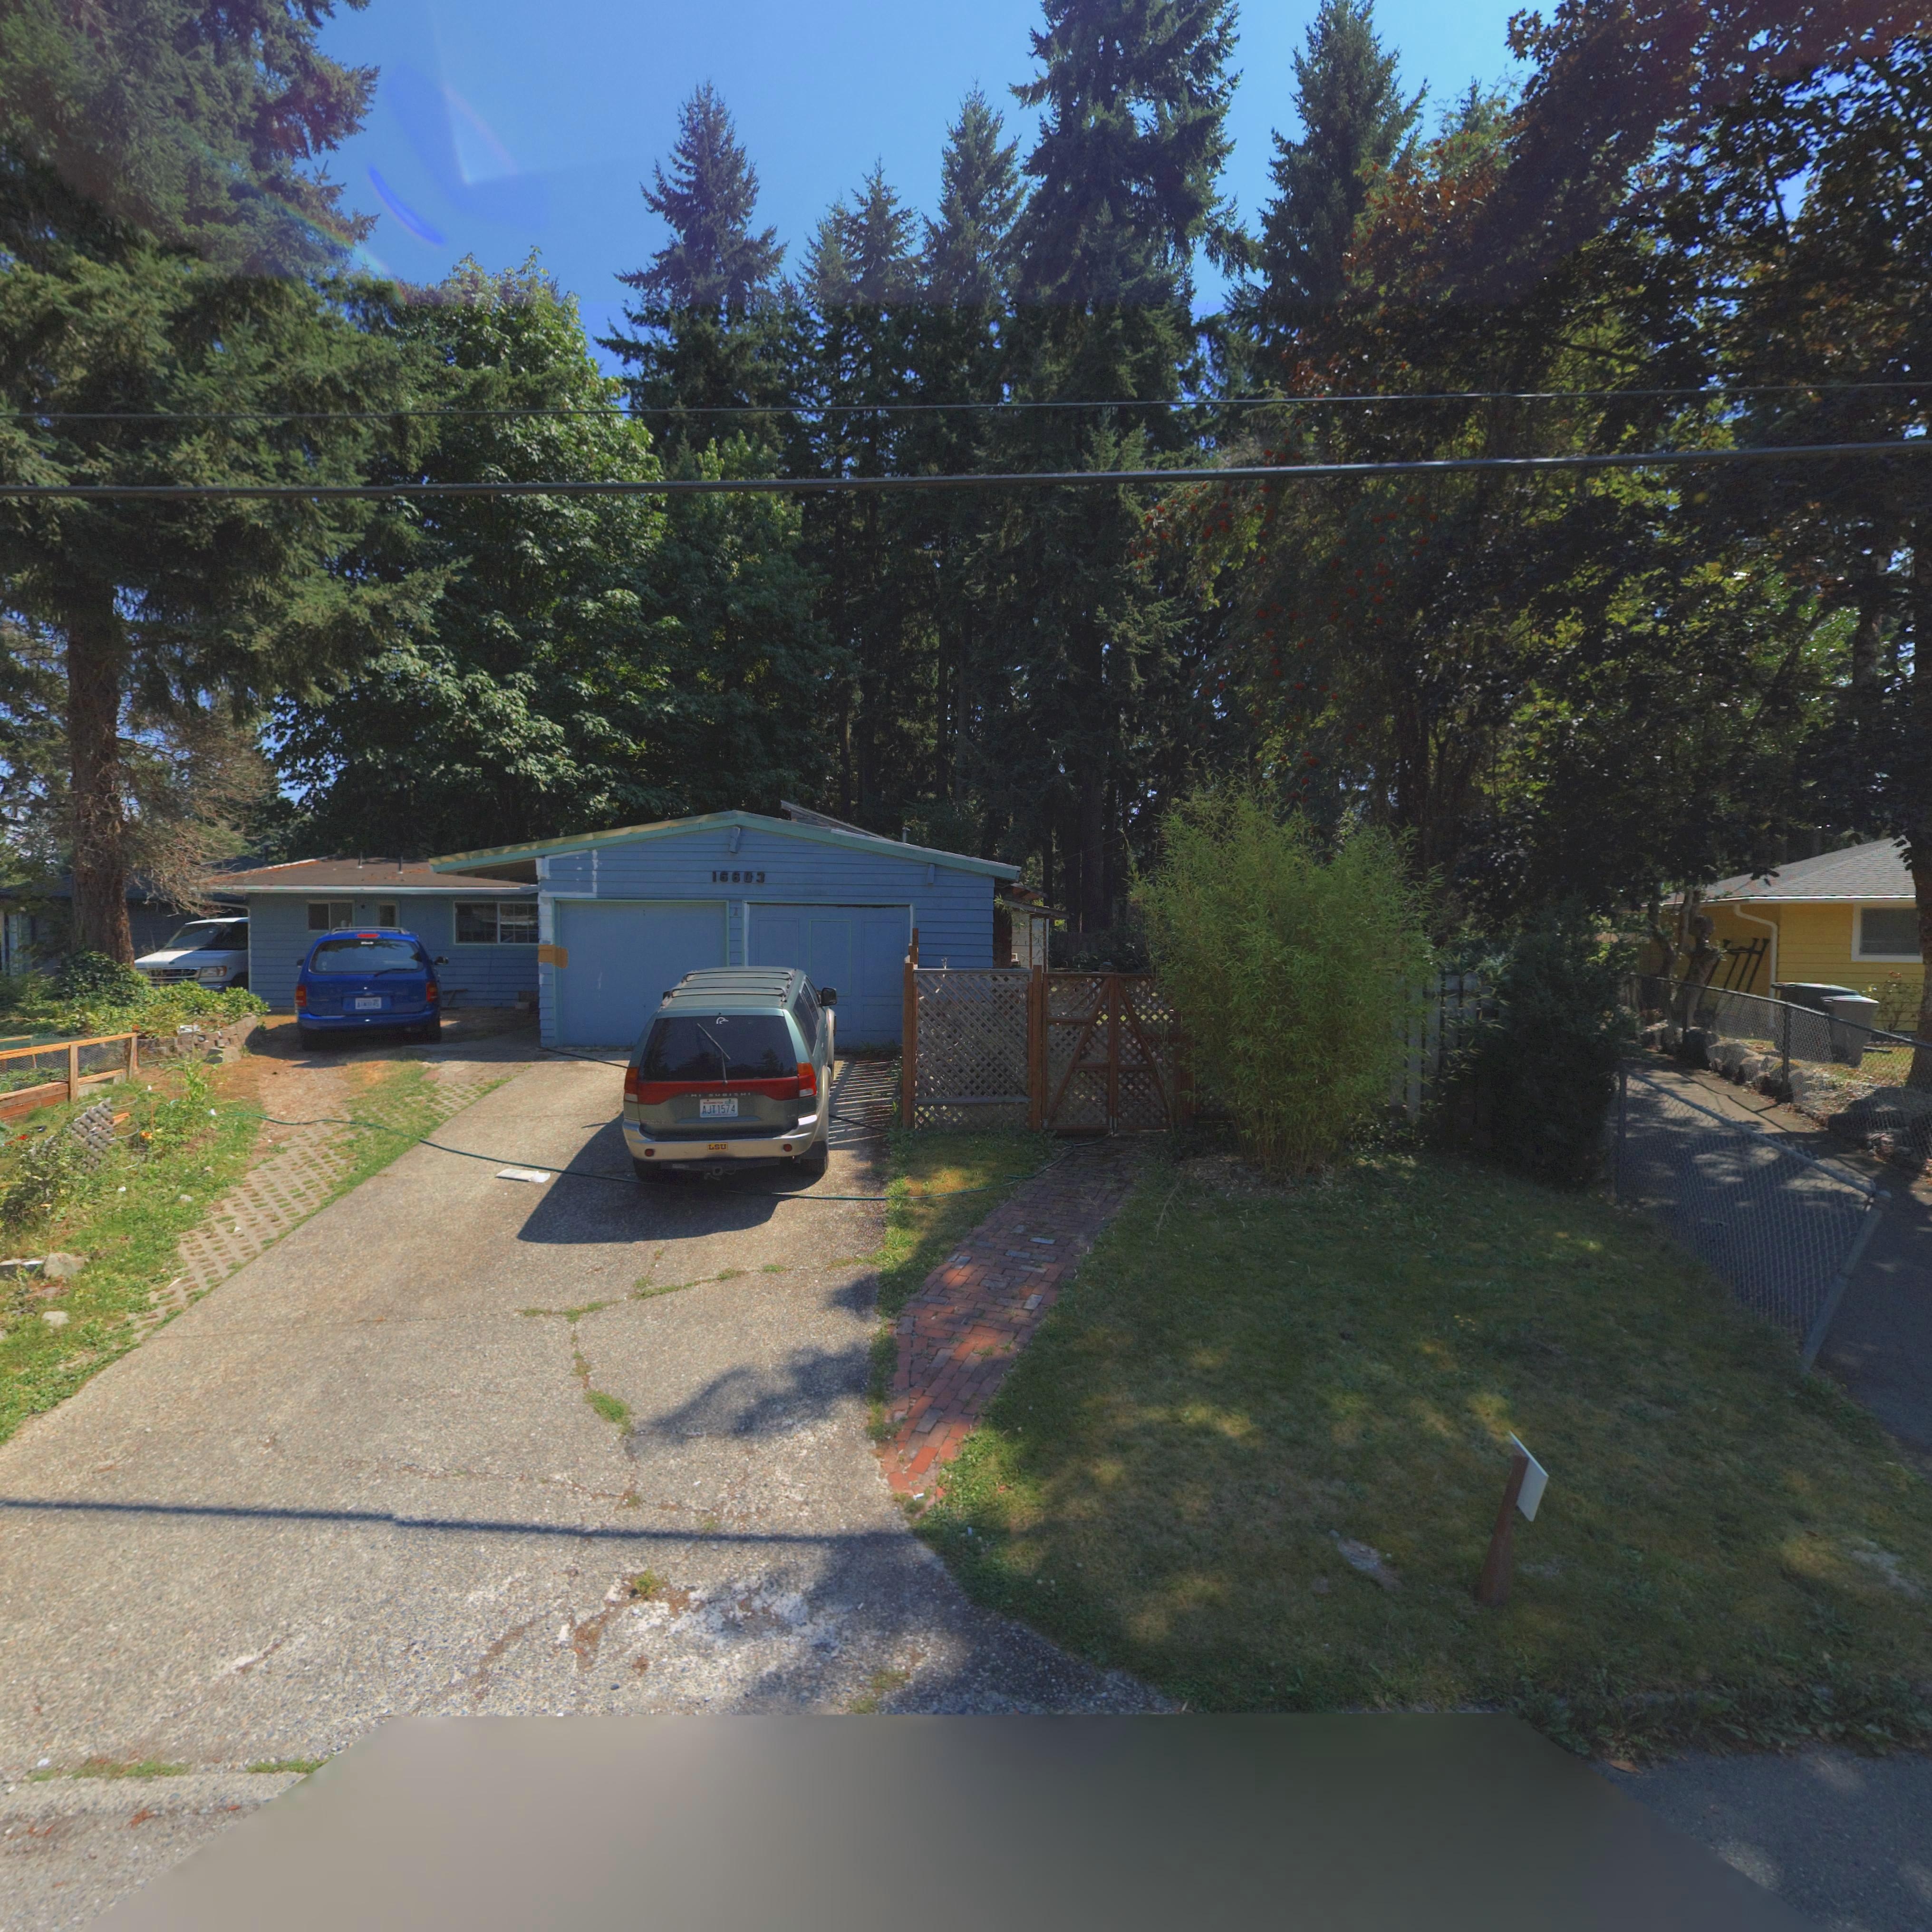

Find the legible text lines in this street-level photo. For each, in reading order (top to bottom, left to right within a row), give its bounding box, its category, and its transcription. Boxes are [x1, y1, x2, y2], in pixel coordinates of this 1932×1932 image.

[711, 869, 767, 884] StreetNumber: 16603